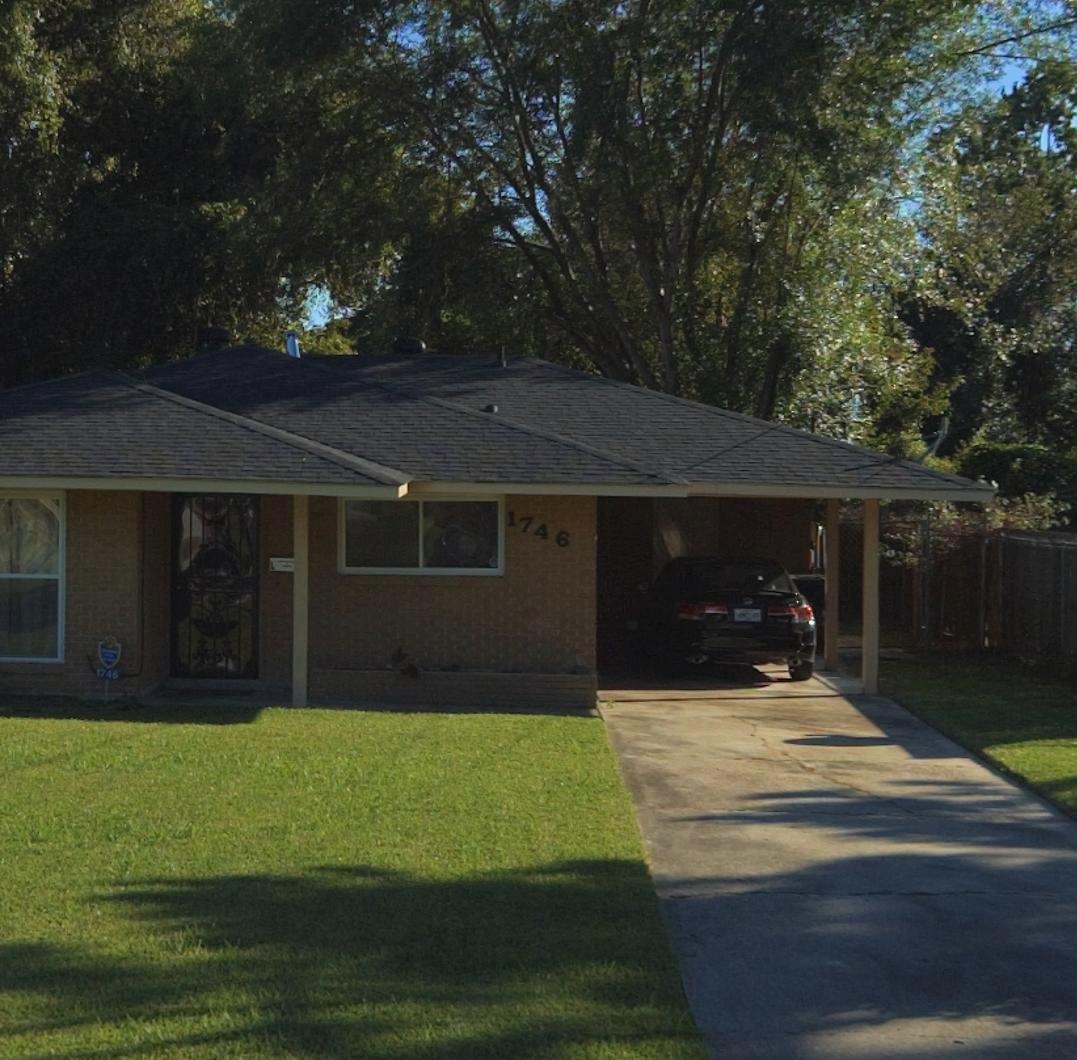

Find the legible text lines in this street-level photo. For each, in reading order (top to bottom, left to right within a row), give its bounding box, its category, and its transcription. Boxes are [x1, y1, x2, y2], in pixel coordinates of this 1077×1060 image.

[506, 510, 570, 549] StreetNumber: 1746
[96, 667, 119, 681] StreetNumber: 1746